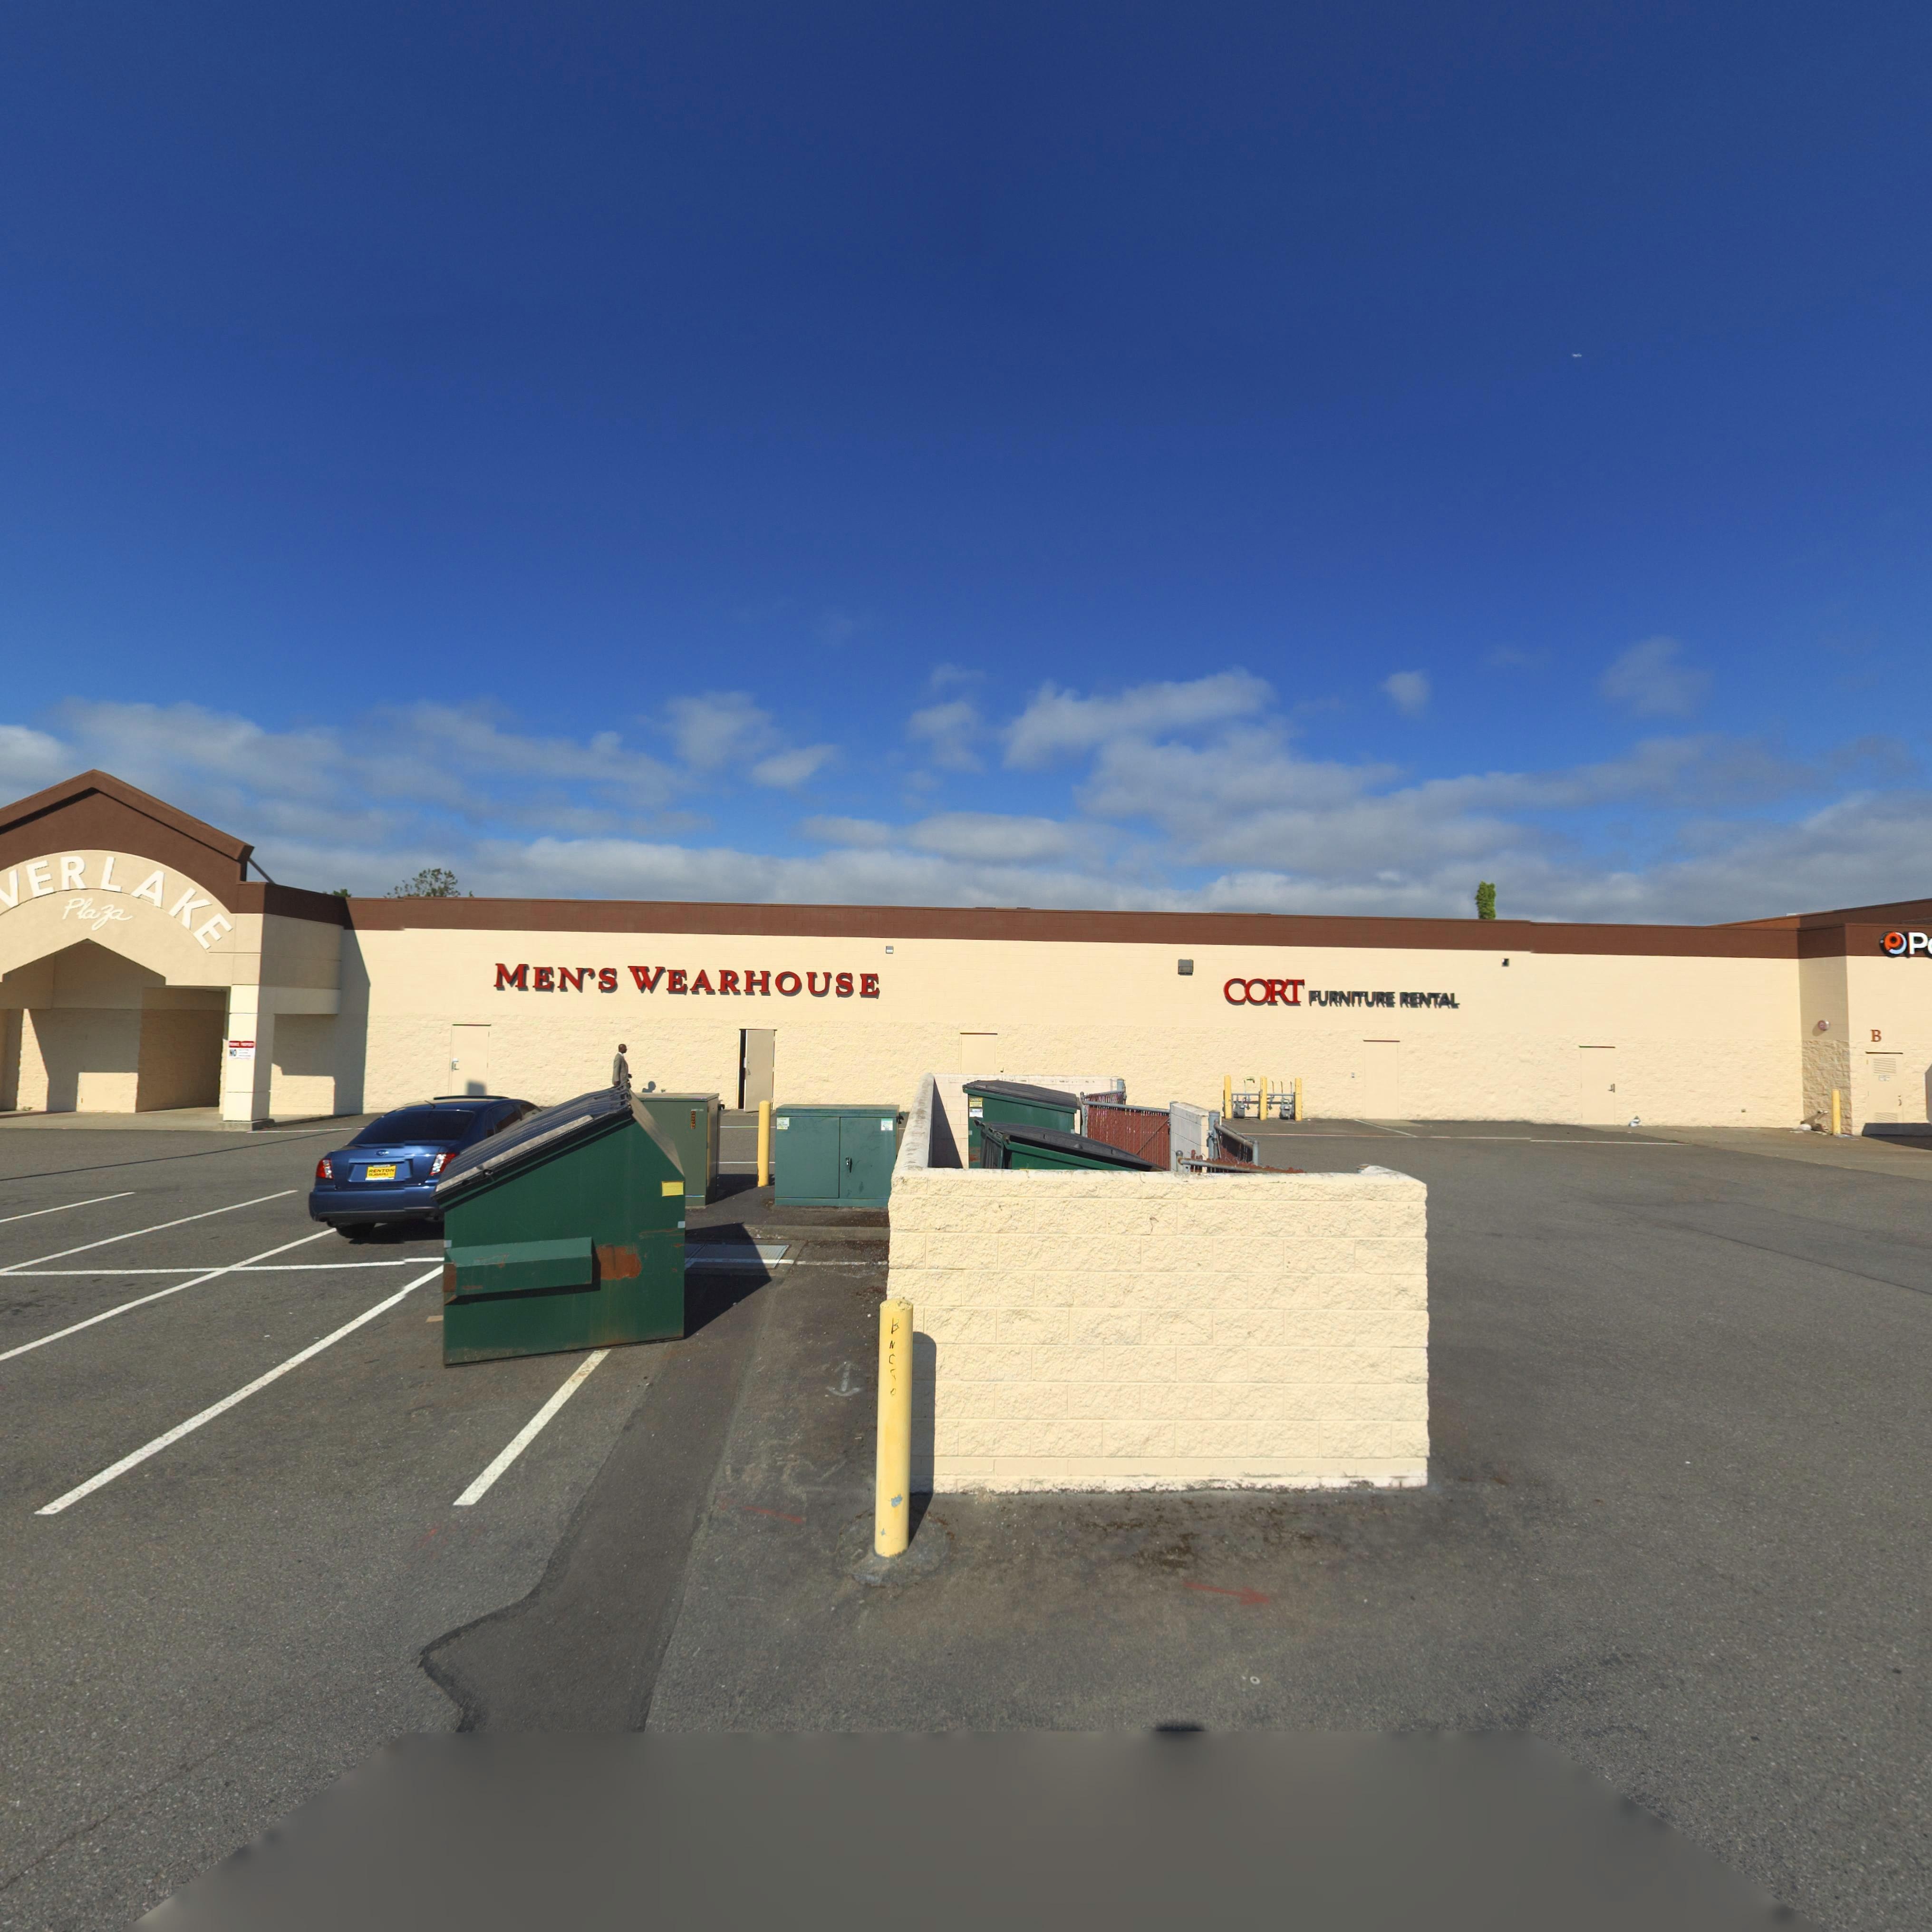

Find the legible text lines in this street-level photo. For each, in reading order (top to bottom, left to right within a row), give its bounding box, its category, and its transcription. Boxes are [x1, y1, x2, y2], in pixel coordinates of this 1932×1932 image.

[1904, 930, 1930, 957] BusinessName: P
[493, 960, 881, 1000] BusinessName: MEN'S WAREHOUSE
[1222, 977, 1305, 1004] BusinessName: CORT
[1308, 988, 1460, 1006] BusinessName: FURNITURE RENTAL